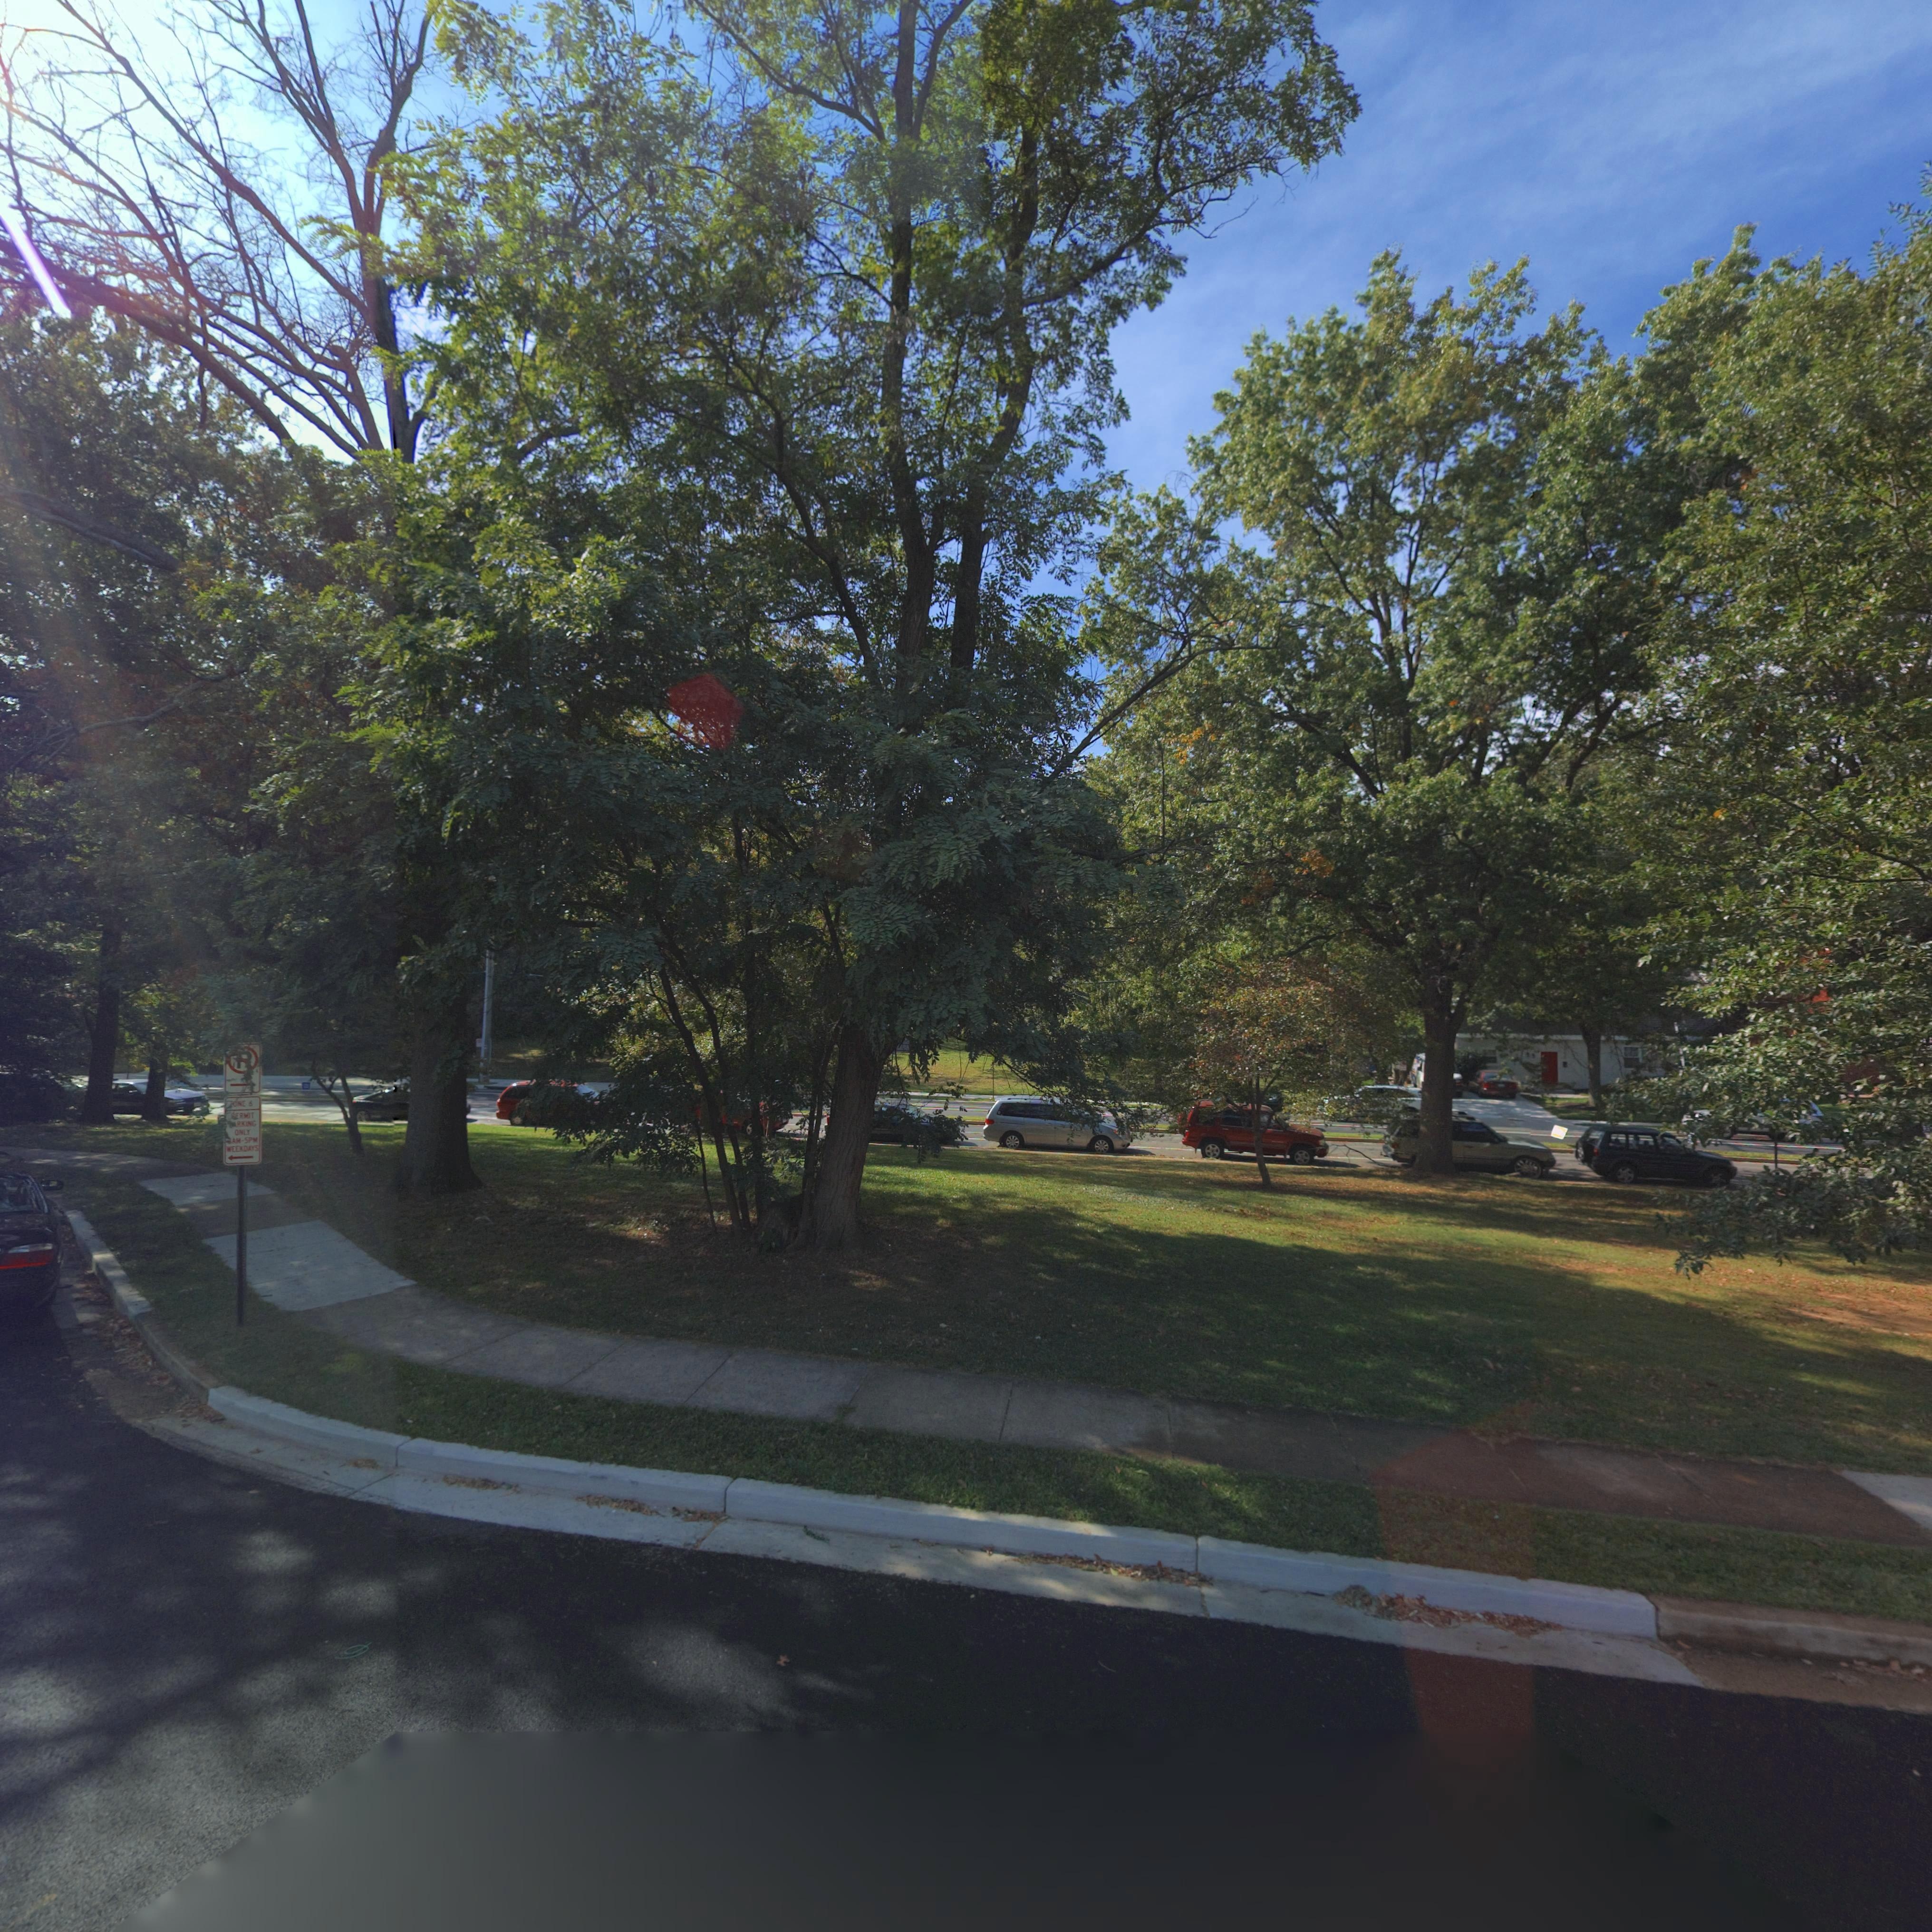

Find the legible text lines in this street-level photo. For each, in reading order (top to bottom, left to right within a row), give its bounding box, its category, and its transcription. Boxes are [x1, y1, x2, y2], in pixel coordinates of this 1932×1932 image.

[247, 1098, 255, 1108] None: 6
[239, 1111, 256, 1120] None: RMIT
[236, 1120, 258, 1128] None: RKING
[233, 1128, 251, 1137] None: ONLY
[231, 1136, 259, 1145] None: AM-5PM
[224, 1144, 260, 1153] None: WEEKDAYS